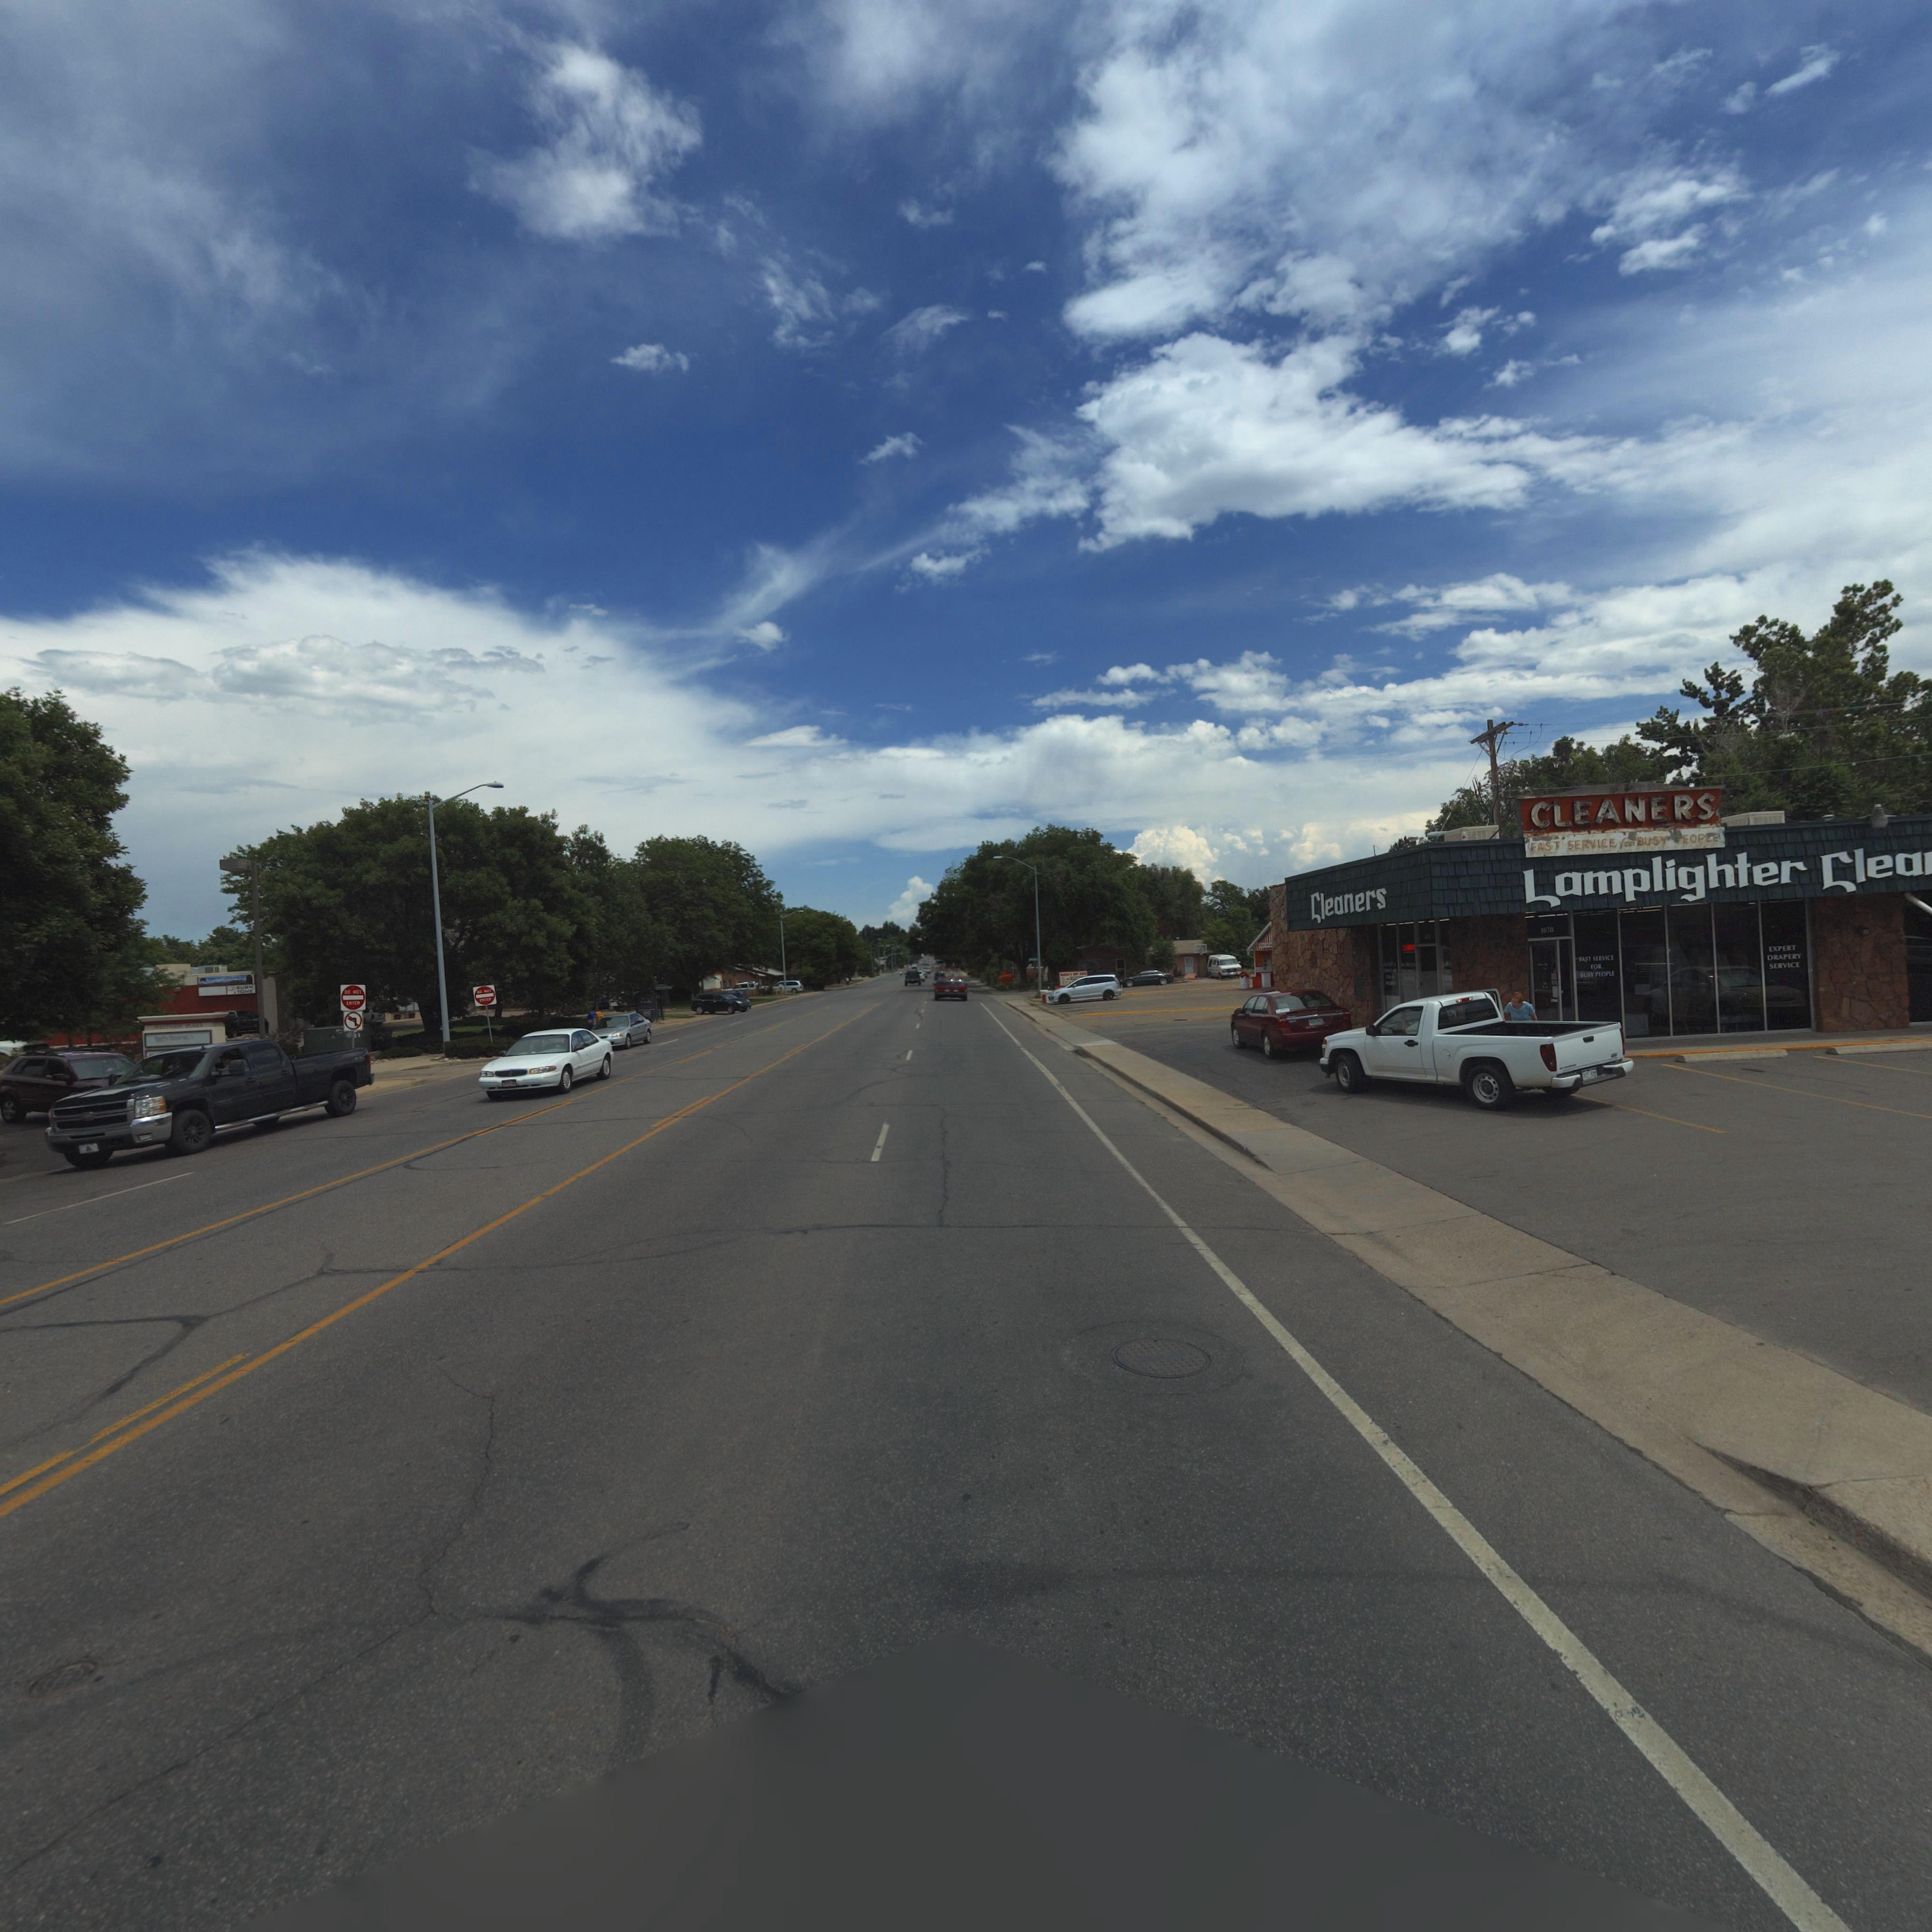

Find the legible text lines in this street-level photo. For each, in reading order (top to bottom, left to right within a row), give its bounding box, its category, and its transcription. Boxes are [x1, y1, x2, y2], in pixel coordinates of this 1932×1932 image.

[1530, 792, 1717, 829] BusinessName: CLEANERS
[1522, 847, 1924, 908] BusinessName: Lamplighter Clea
[1310, 887, 1388, 924] BusinessName: Cleaners
[1540, 926, 1554, 933] StreetNumber: 167*